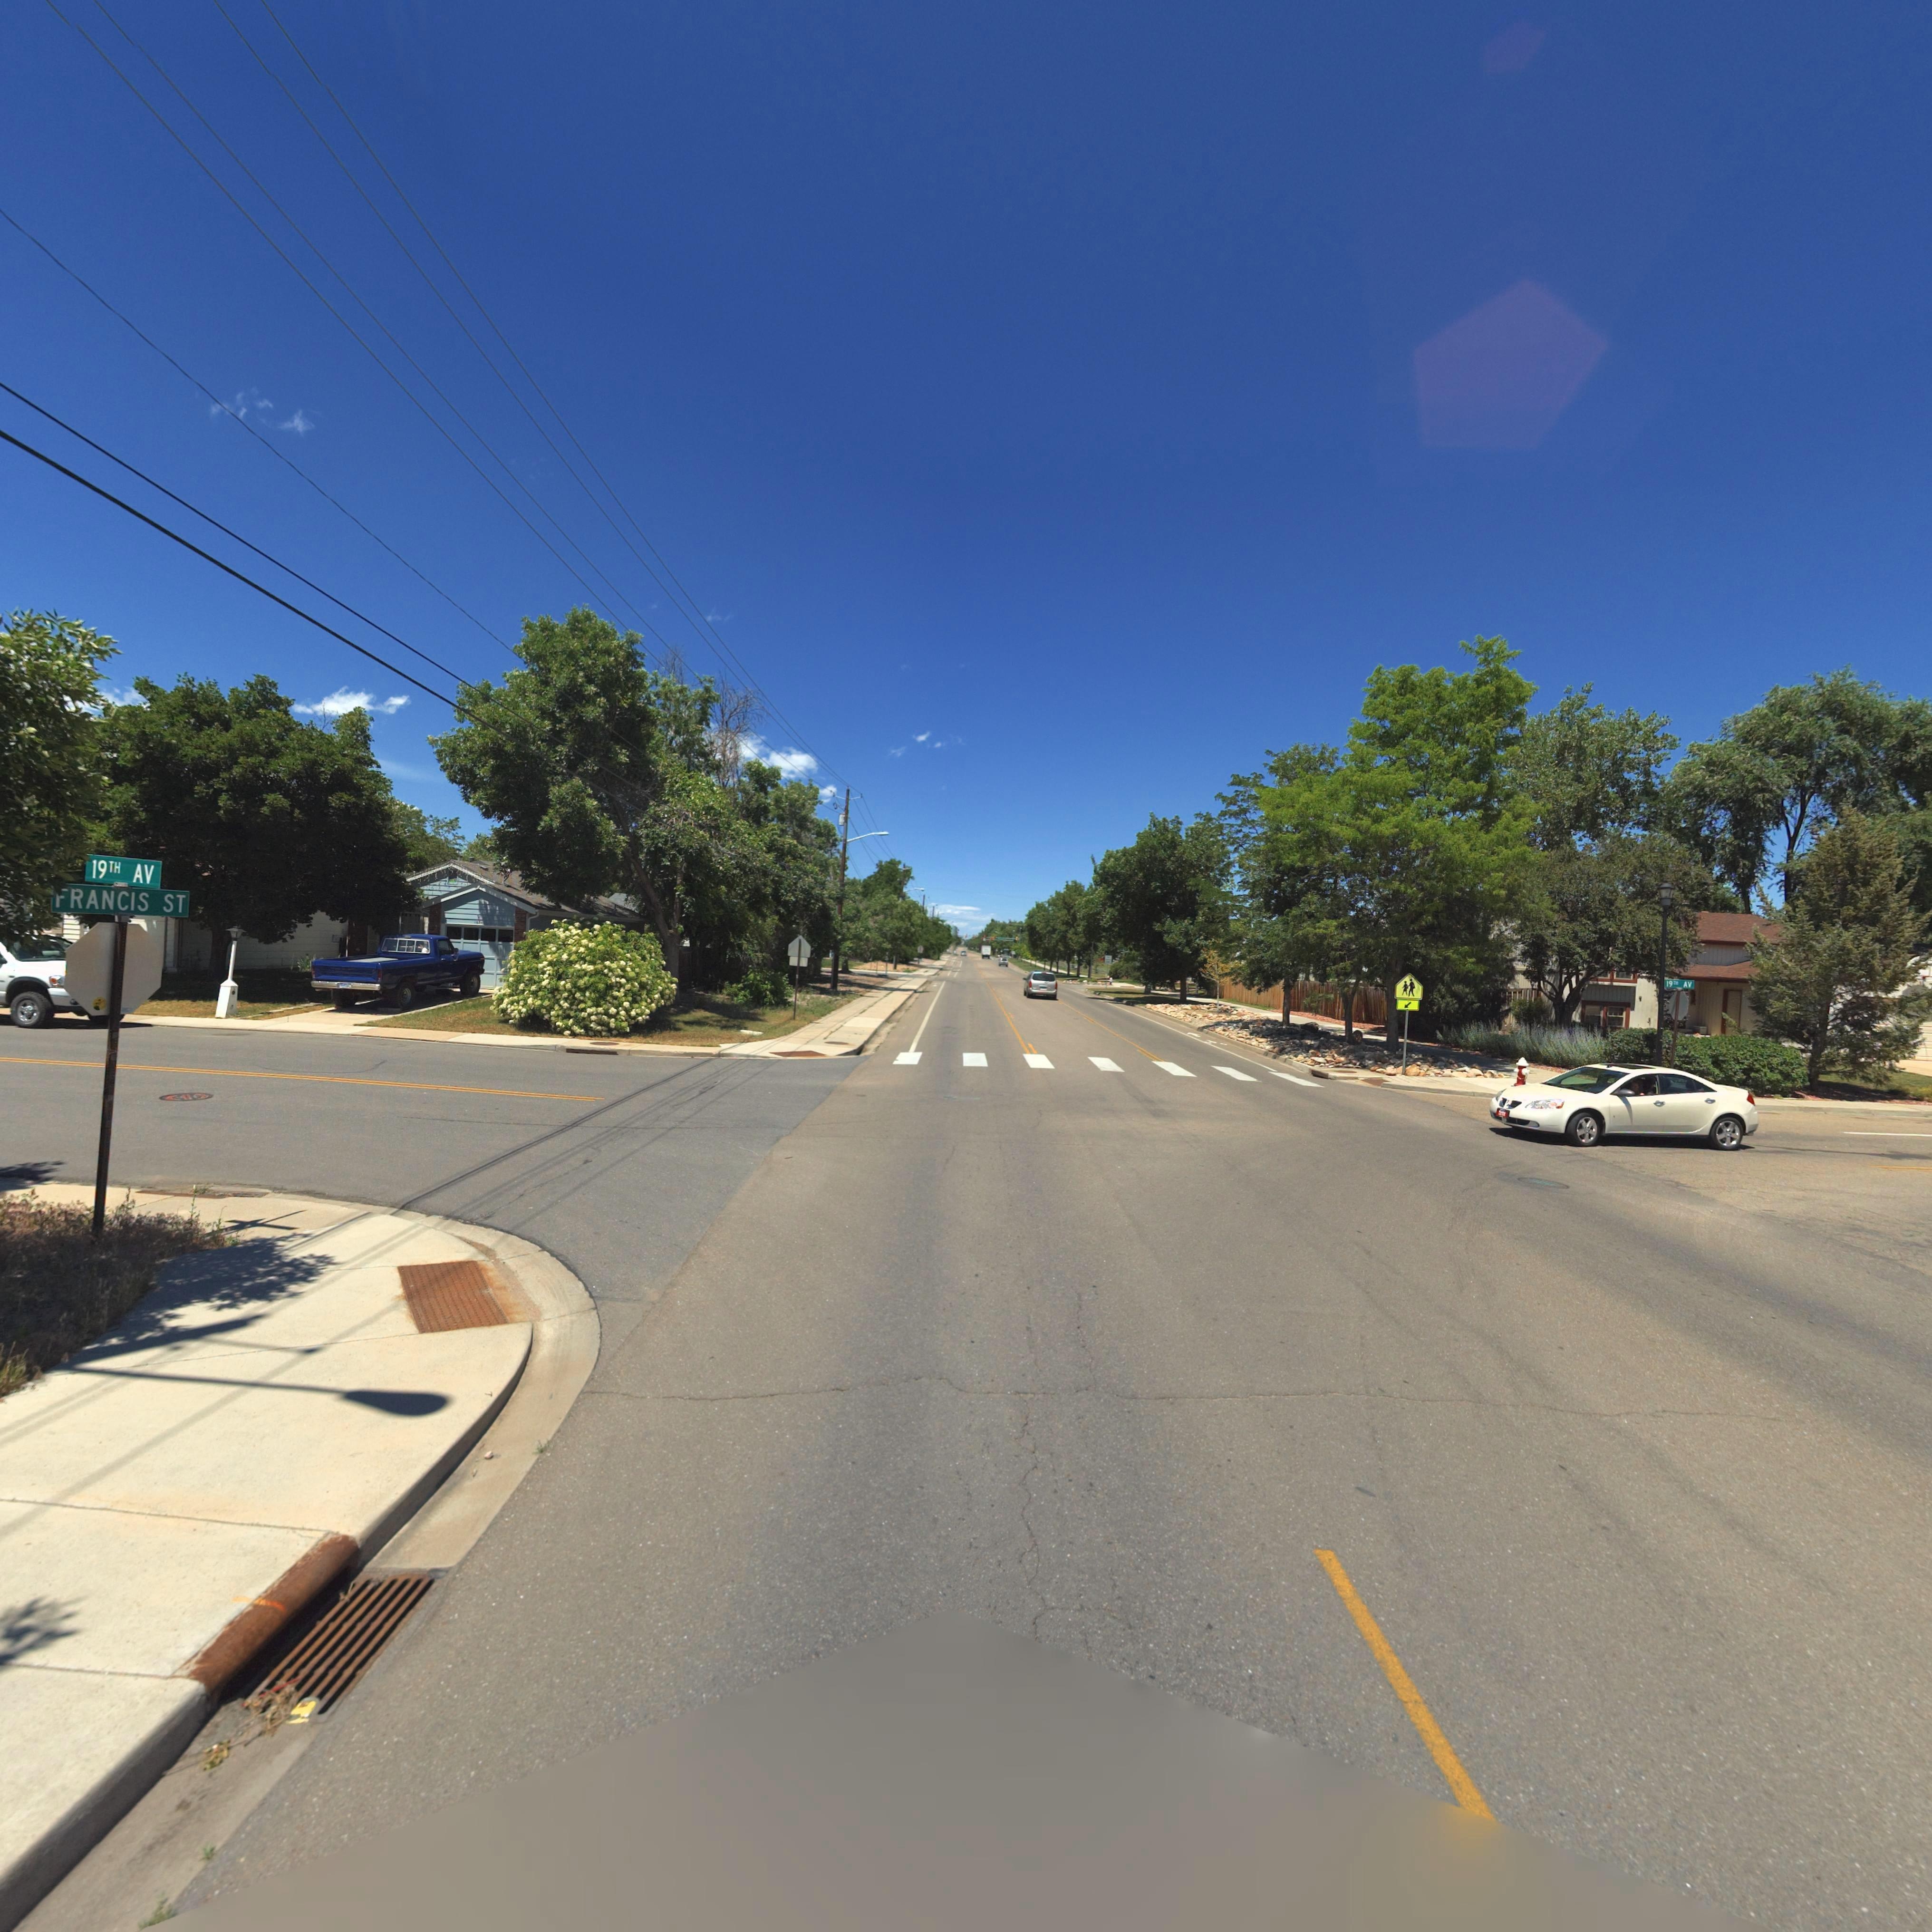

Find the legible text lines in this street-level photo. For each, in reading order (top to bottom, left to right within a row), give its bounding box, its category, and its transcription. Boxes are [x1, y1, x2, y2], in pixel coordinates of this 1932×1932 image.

[91, 859, 155, 885] StreetName: 19TH AV
[55, 887, 186, 913] StreetName: *RANCIS ST
[1666, 980, 1692, 987] StreetName: 19TH AV